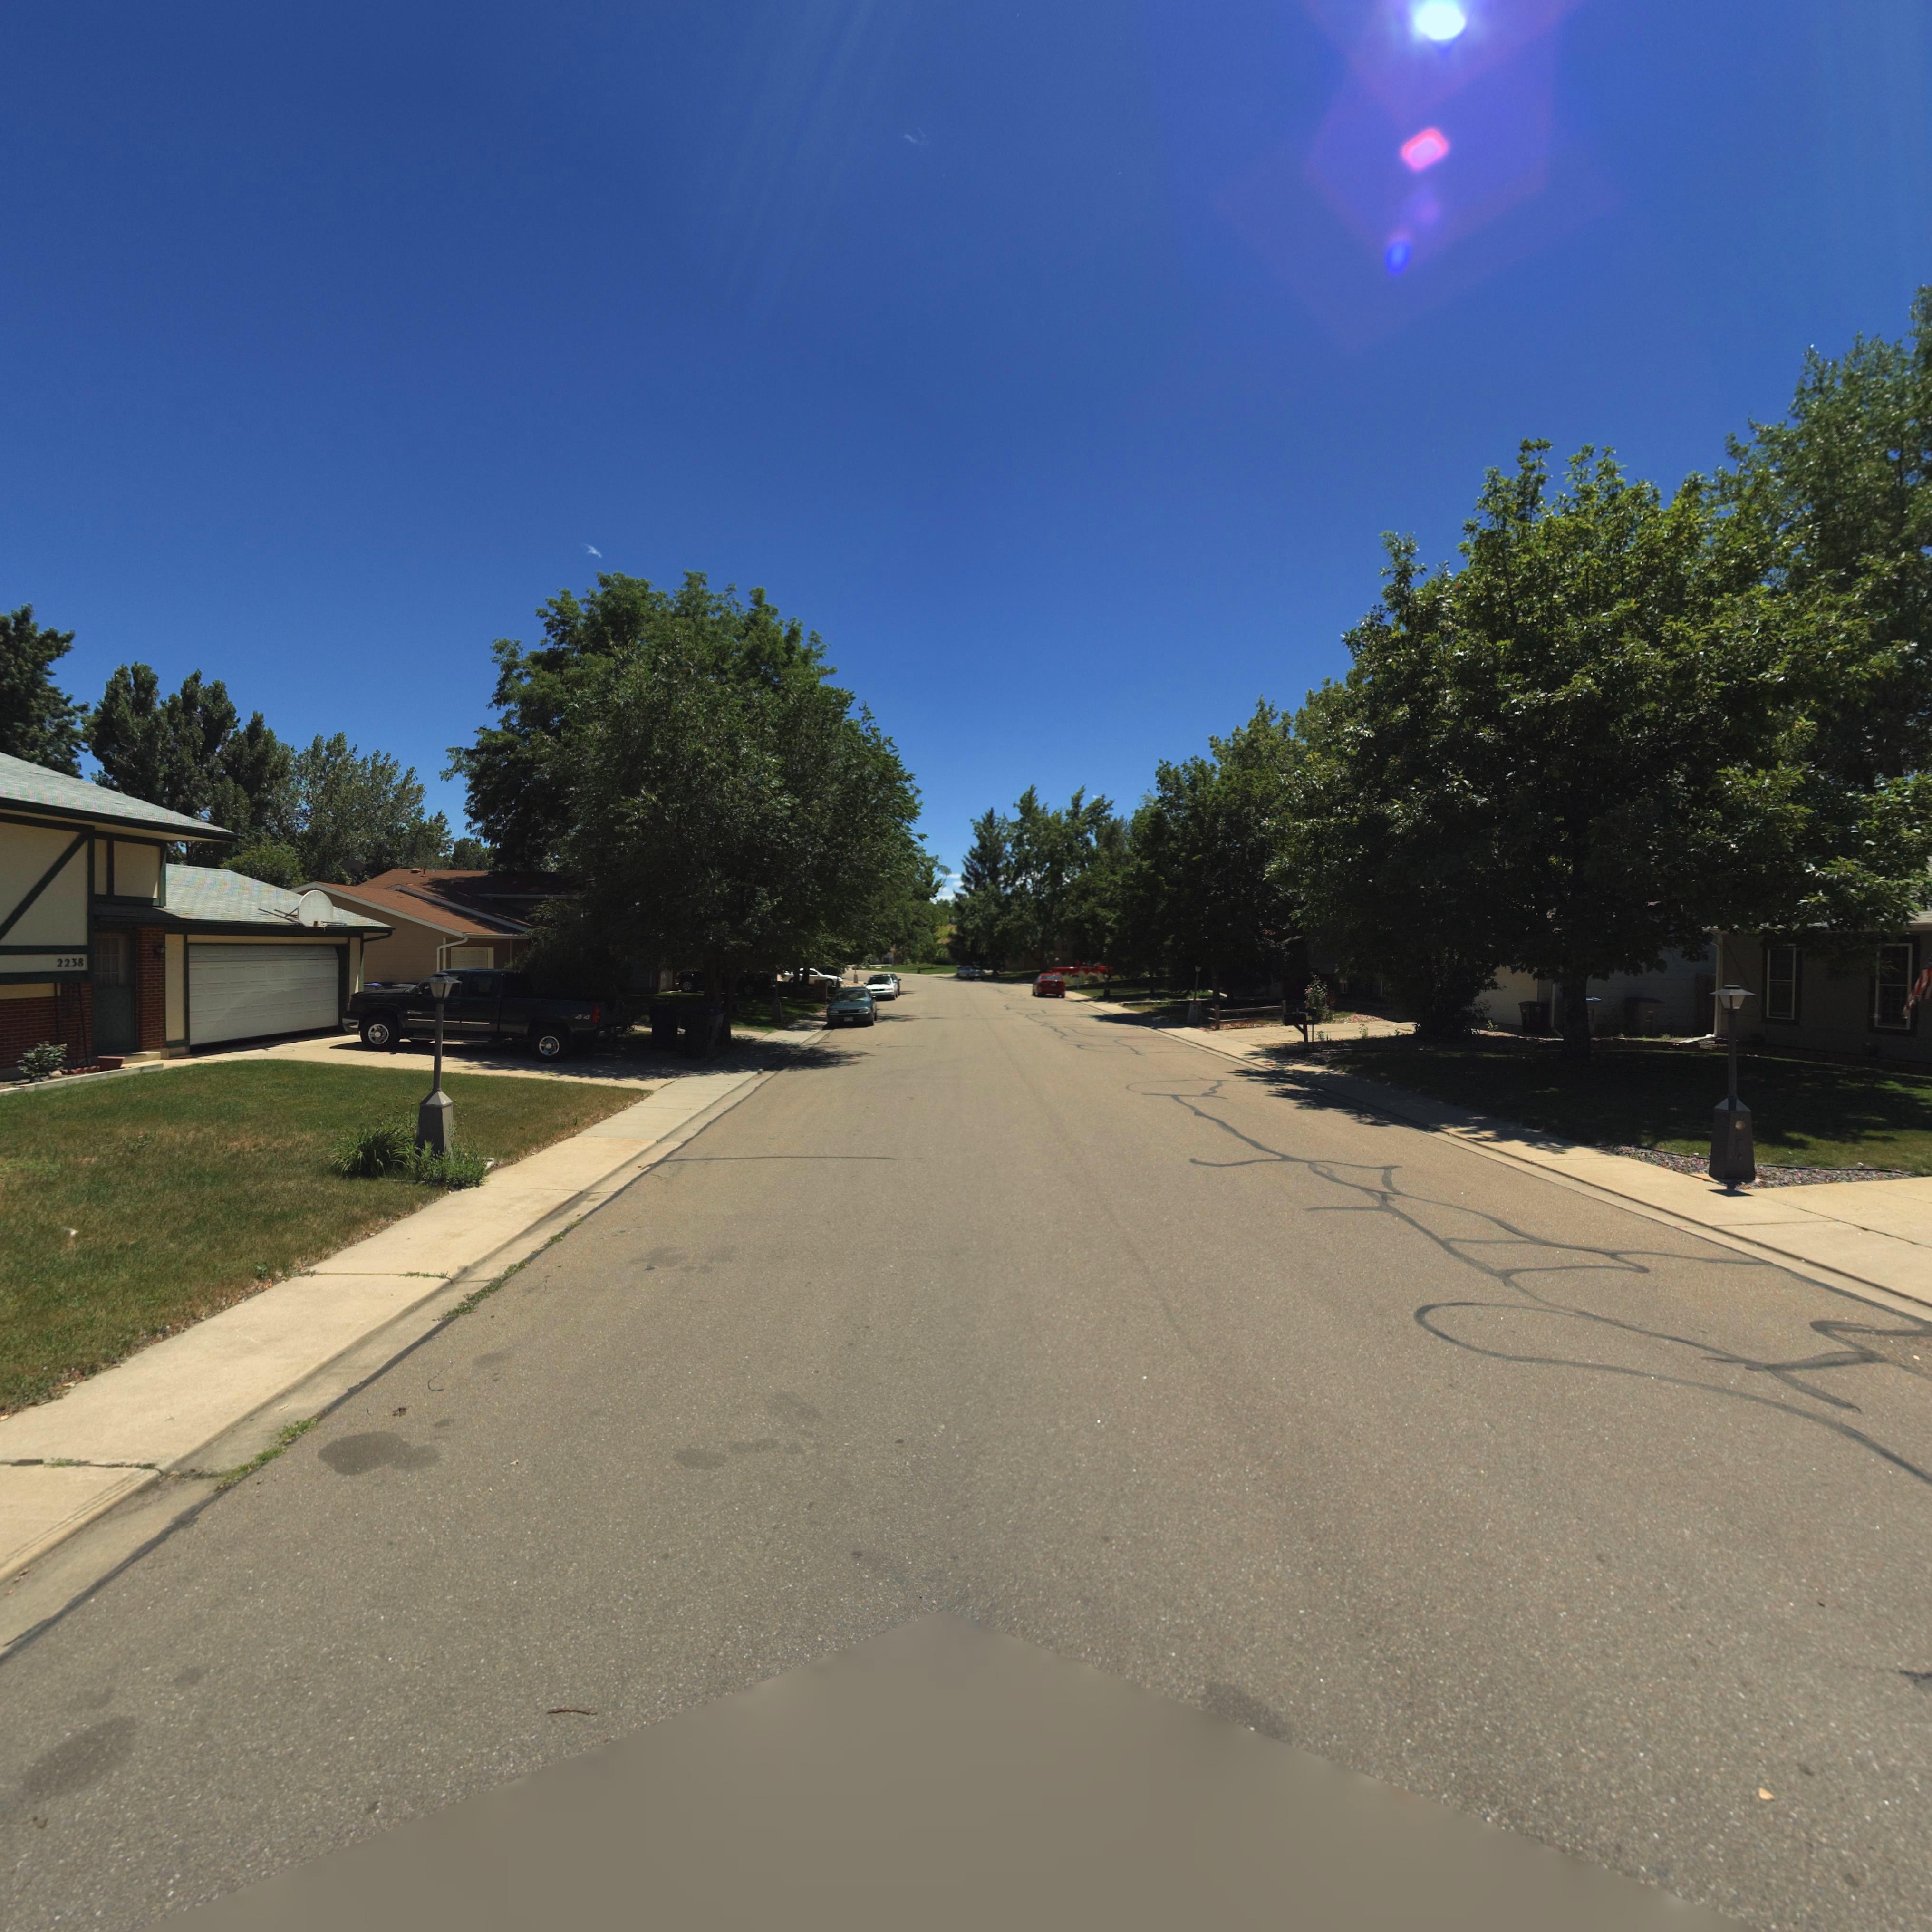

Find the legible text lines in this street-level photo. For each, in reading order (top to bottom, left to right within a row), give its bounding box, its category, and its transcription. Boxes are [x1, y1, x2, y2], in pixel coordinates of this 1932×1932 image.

[55, 957, 84, 967] StreetNumber: 2238